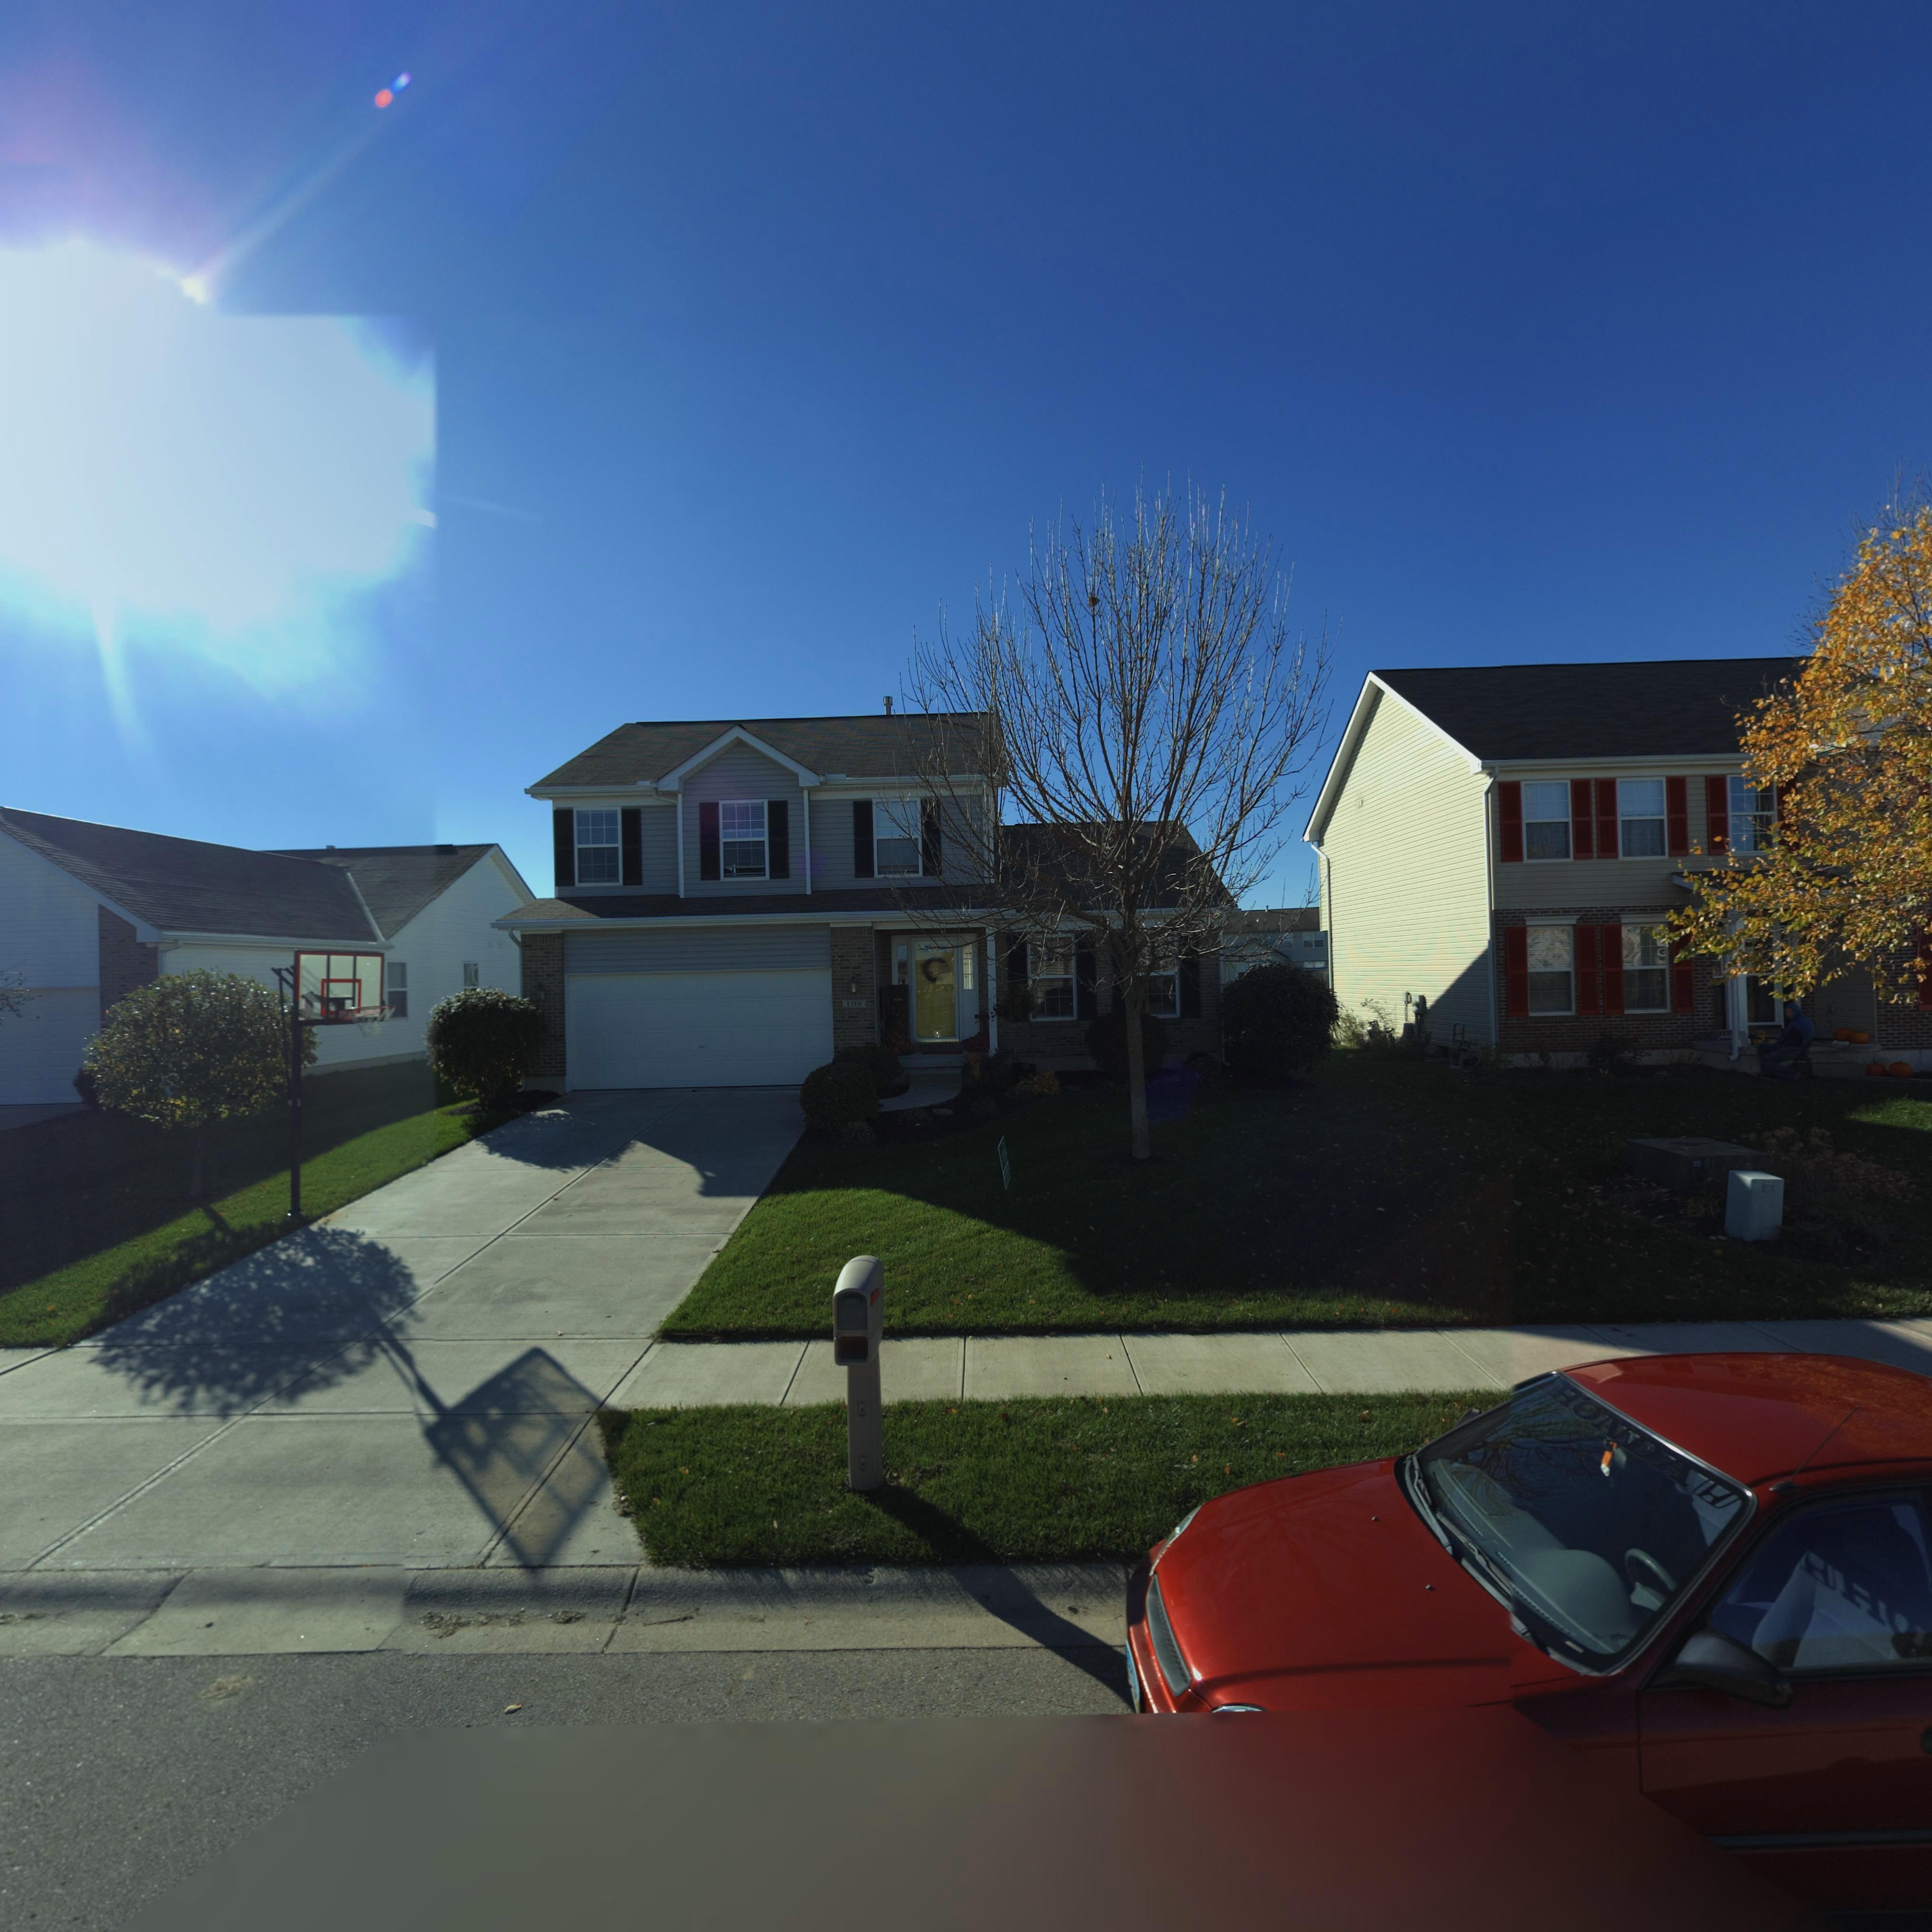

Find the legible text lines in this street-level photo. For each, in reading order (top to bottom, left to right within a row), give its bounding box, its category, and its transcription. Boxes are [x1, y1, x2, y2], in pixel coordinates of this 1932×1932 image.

[846, 1000, 862, 1008] StreetNumber: 108